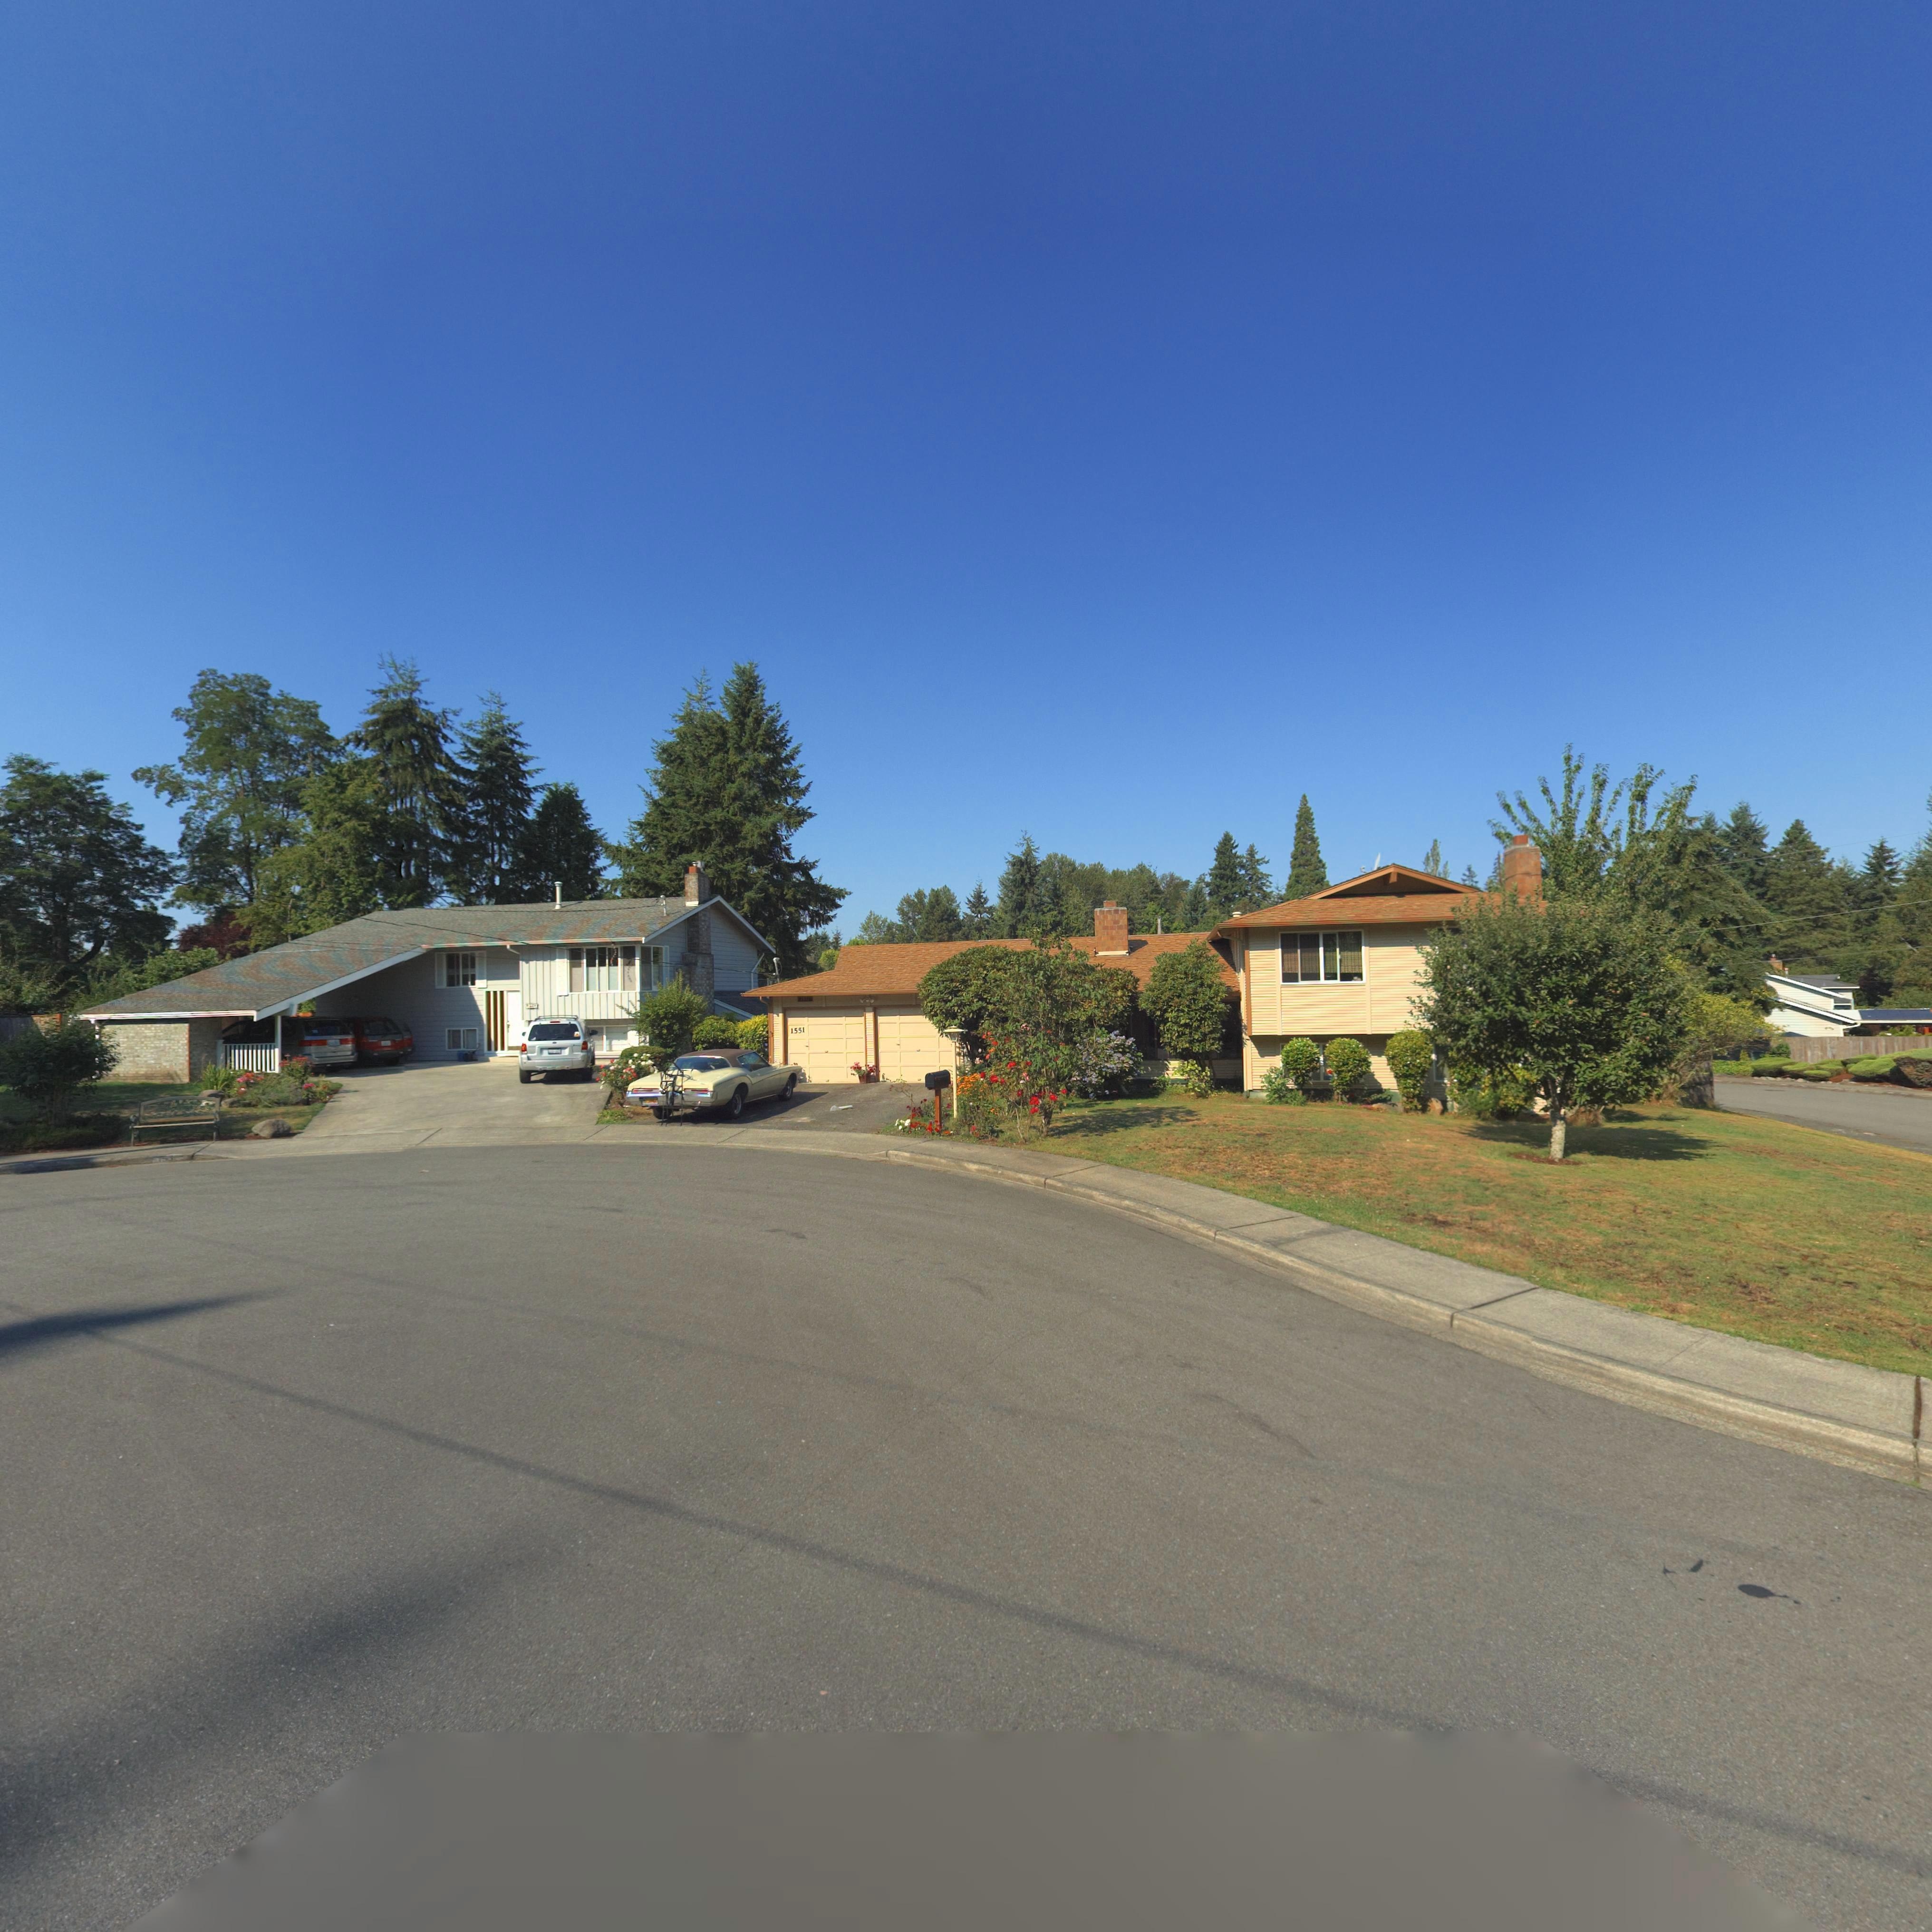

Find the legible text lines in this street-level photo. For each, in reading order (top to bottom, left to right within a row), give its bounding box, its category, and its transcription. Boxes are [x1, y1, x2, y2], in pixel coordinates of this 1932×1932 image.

[791, 1026, 804, 1034] StreetNumber: 1551